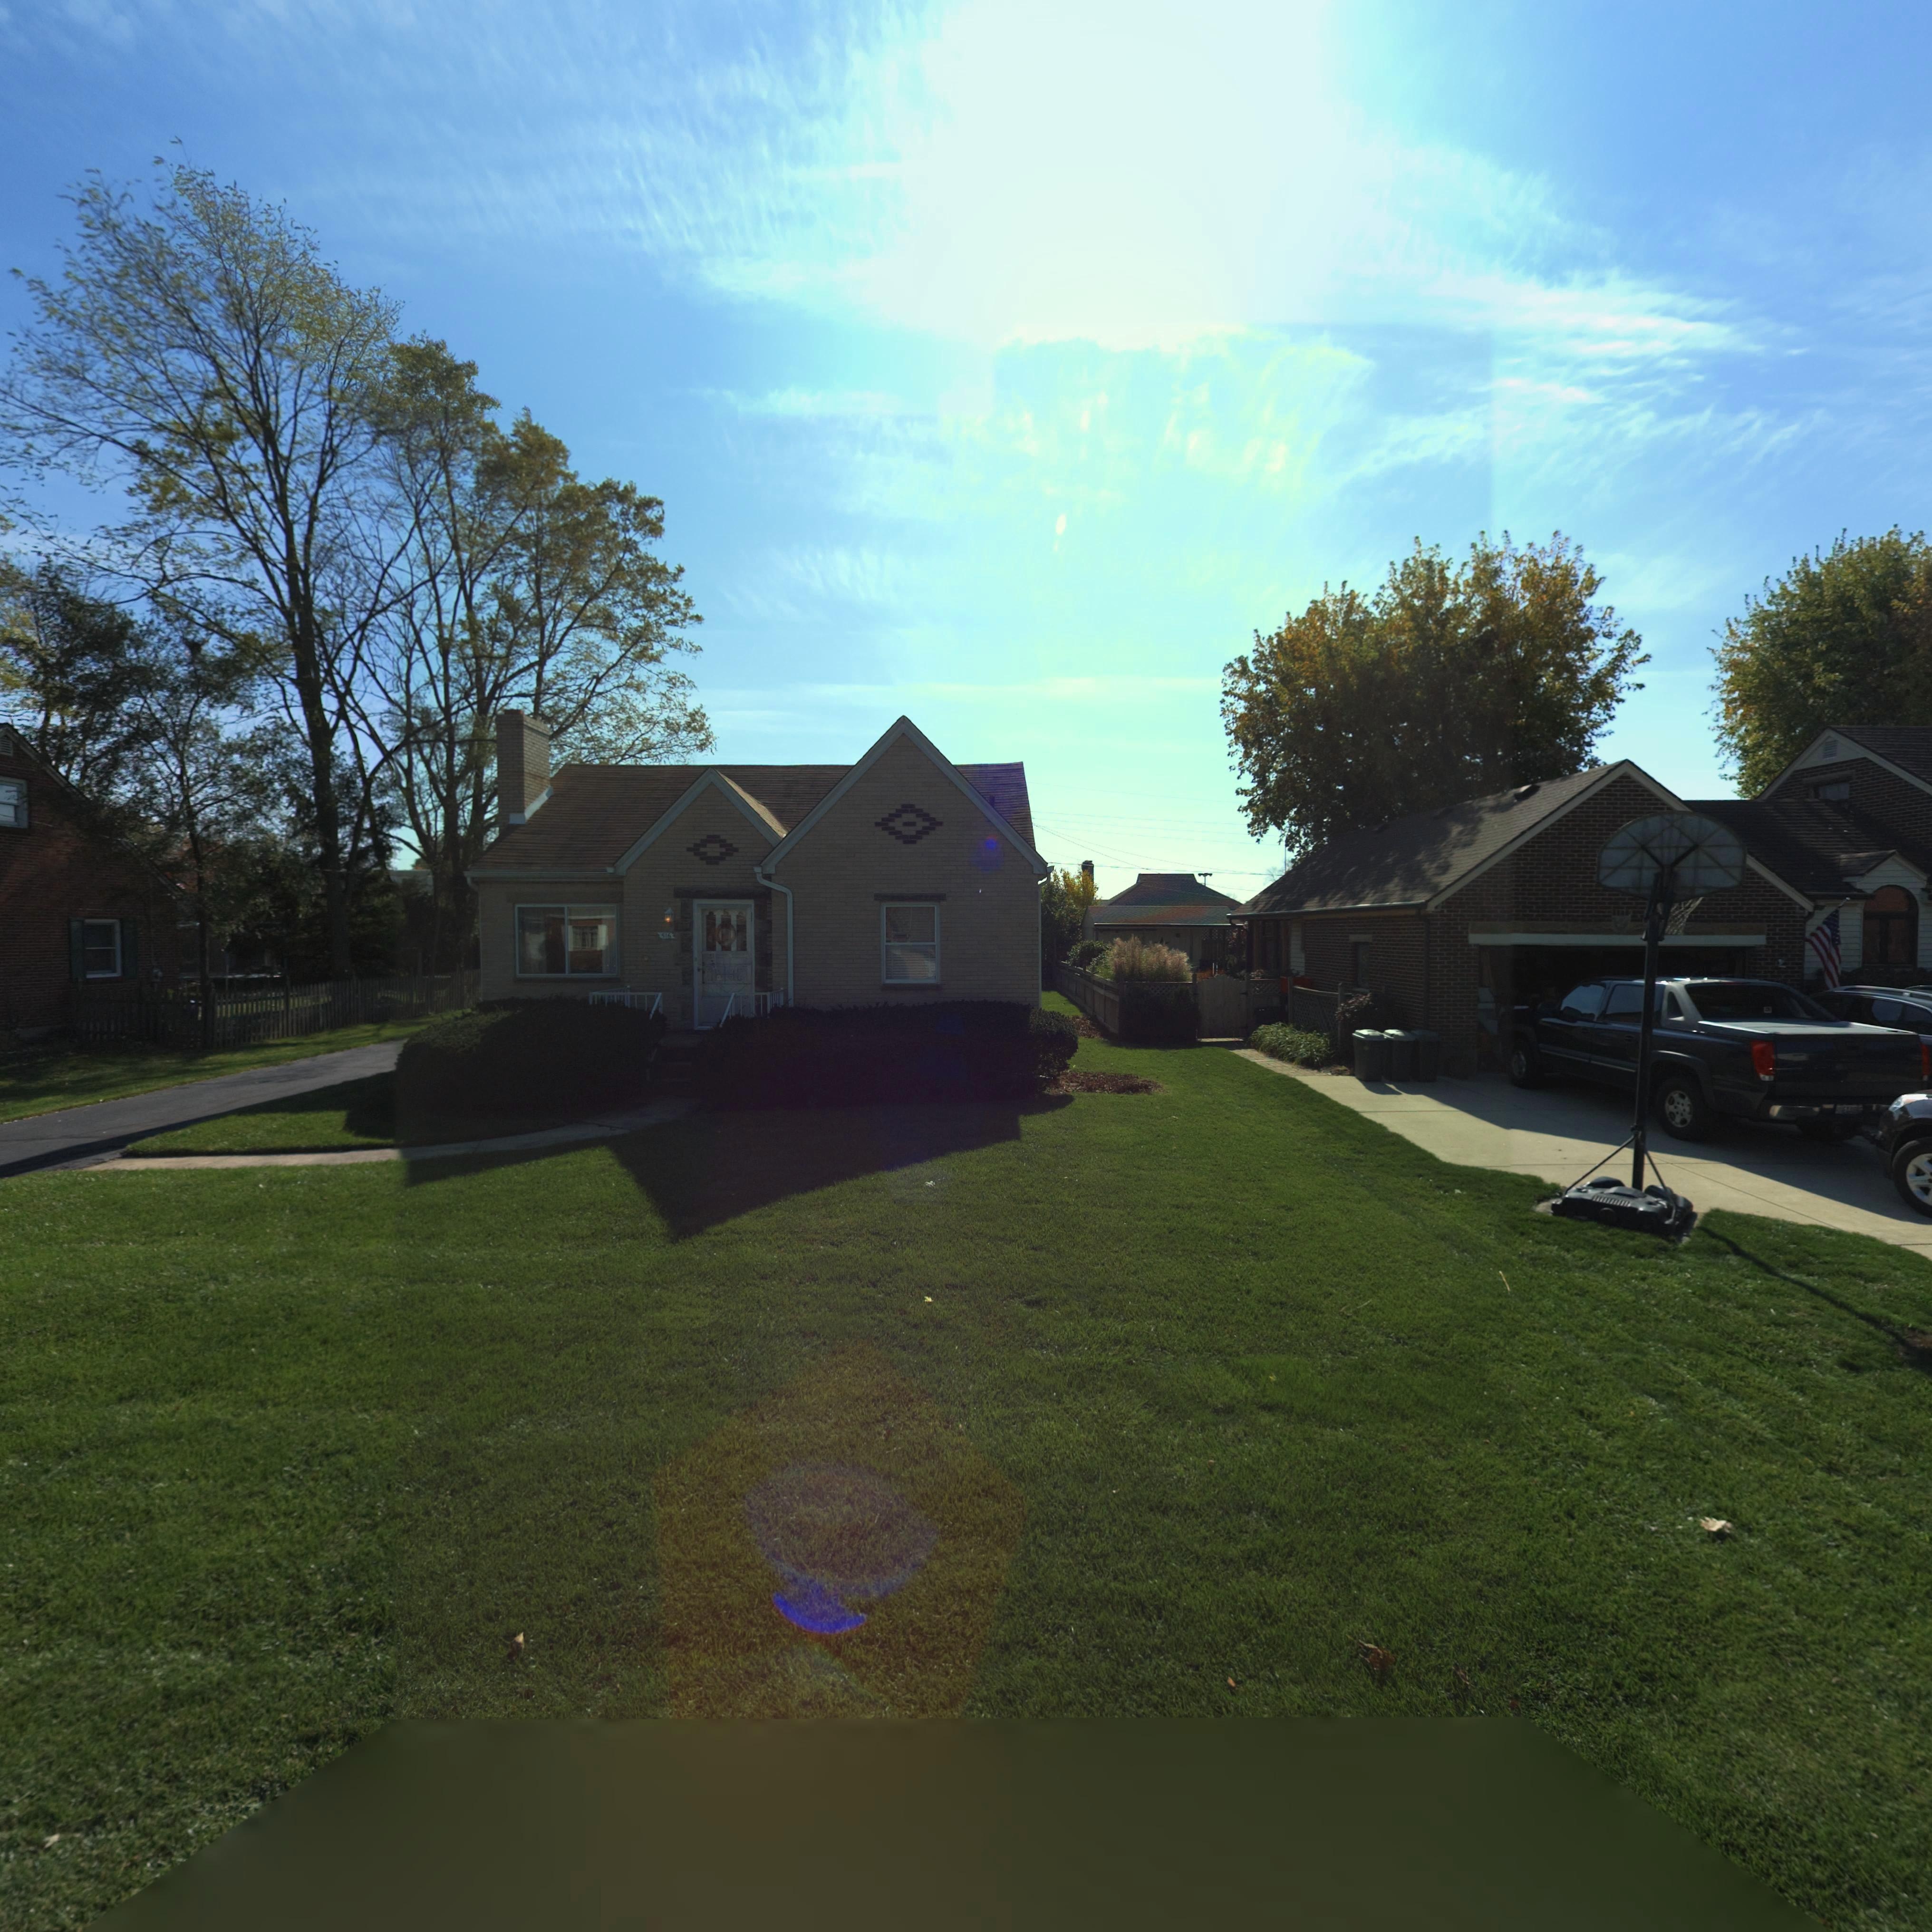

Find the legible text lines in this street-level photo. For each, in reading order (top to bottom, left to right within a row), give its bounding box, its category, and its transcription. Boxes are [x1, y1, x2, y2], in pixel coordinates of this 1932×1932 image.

[661, 933, 671, 938] StreetNumber: 516